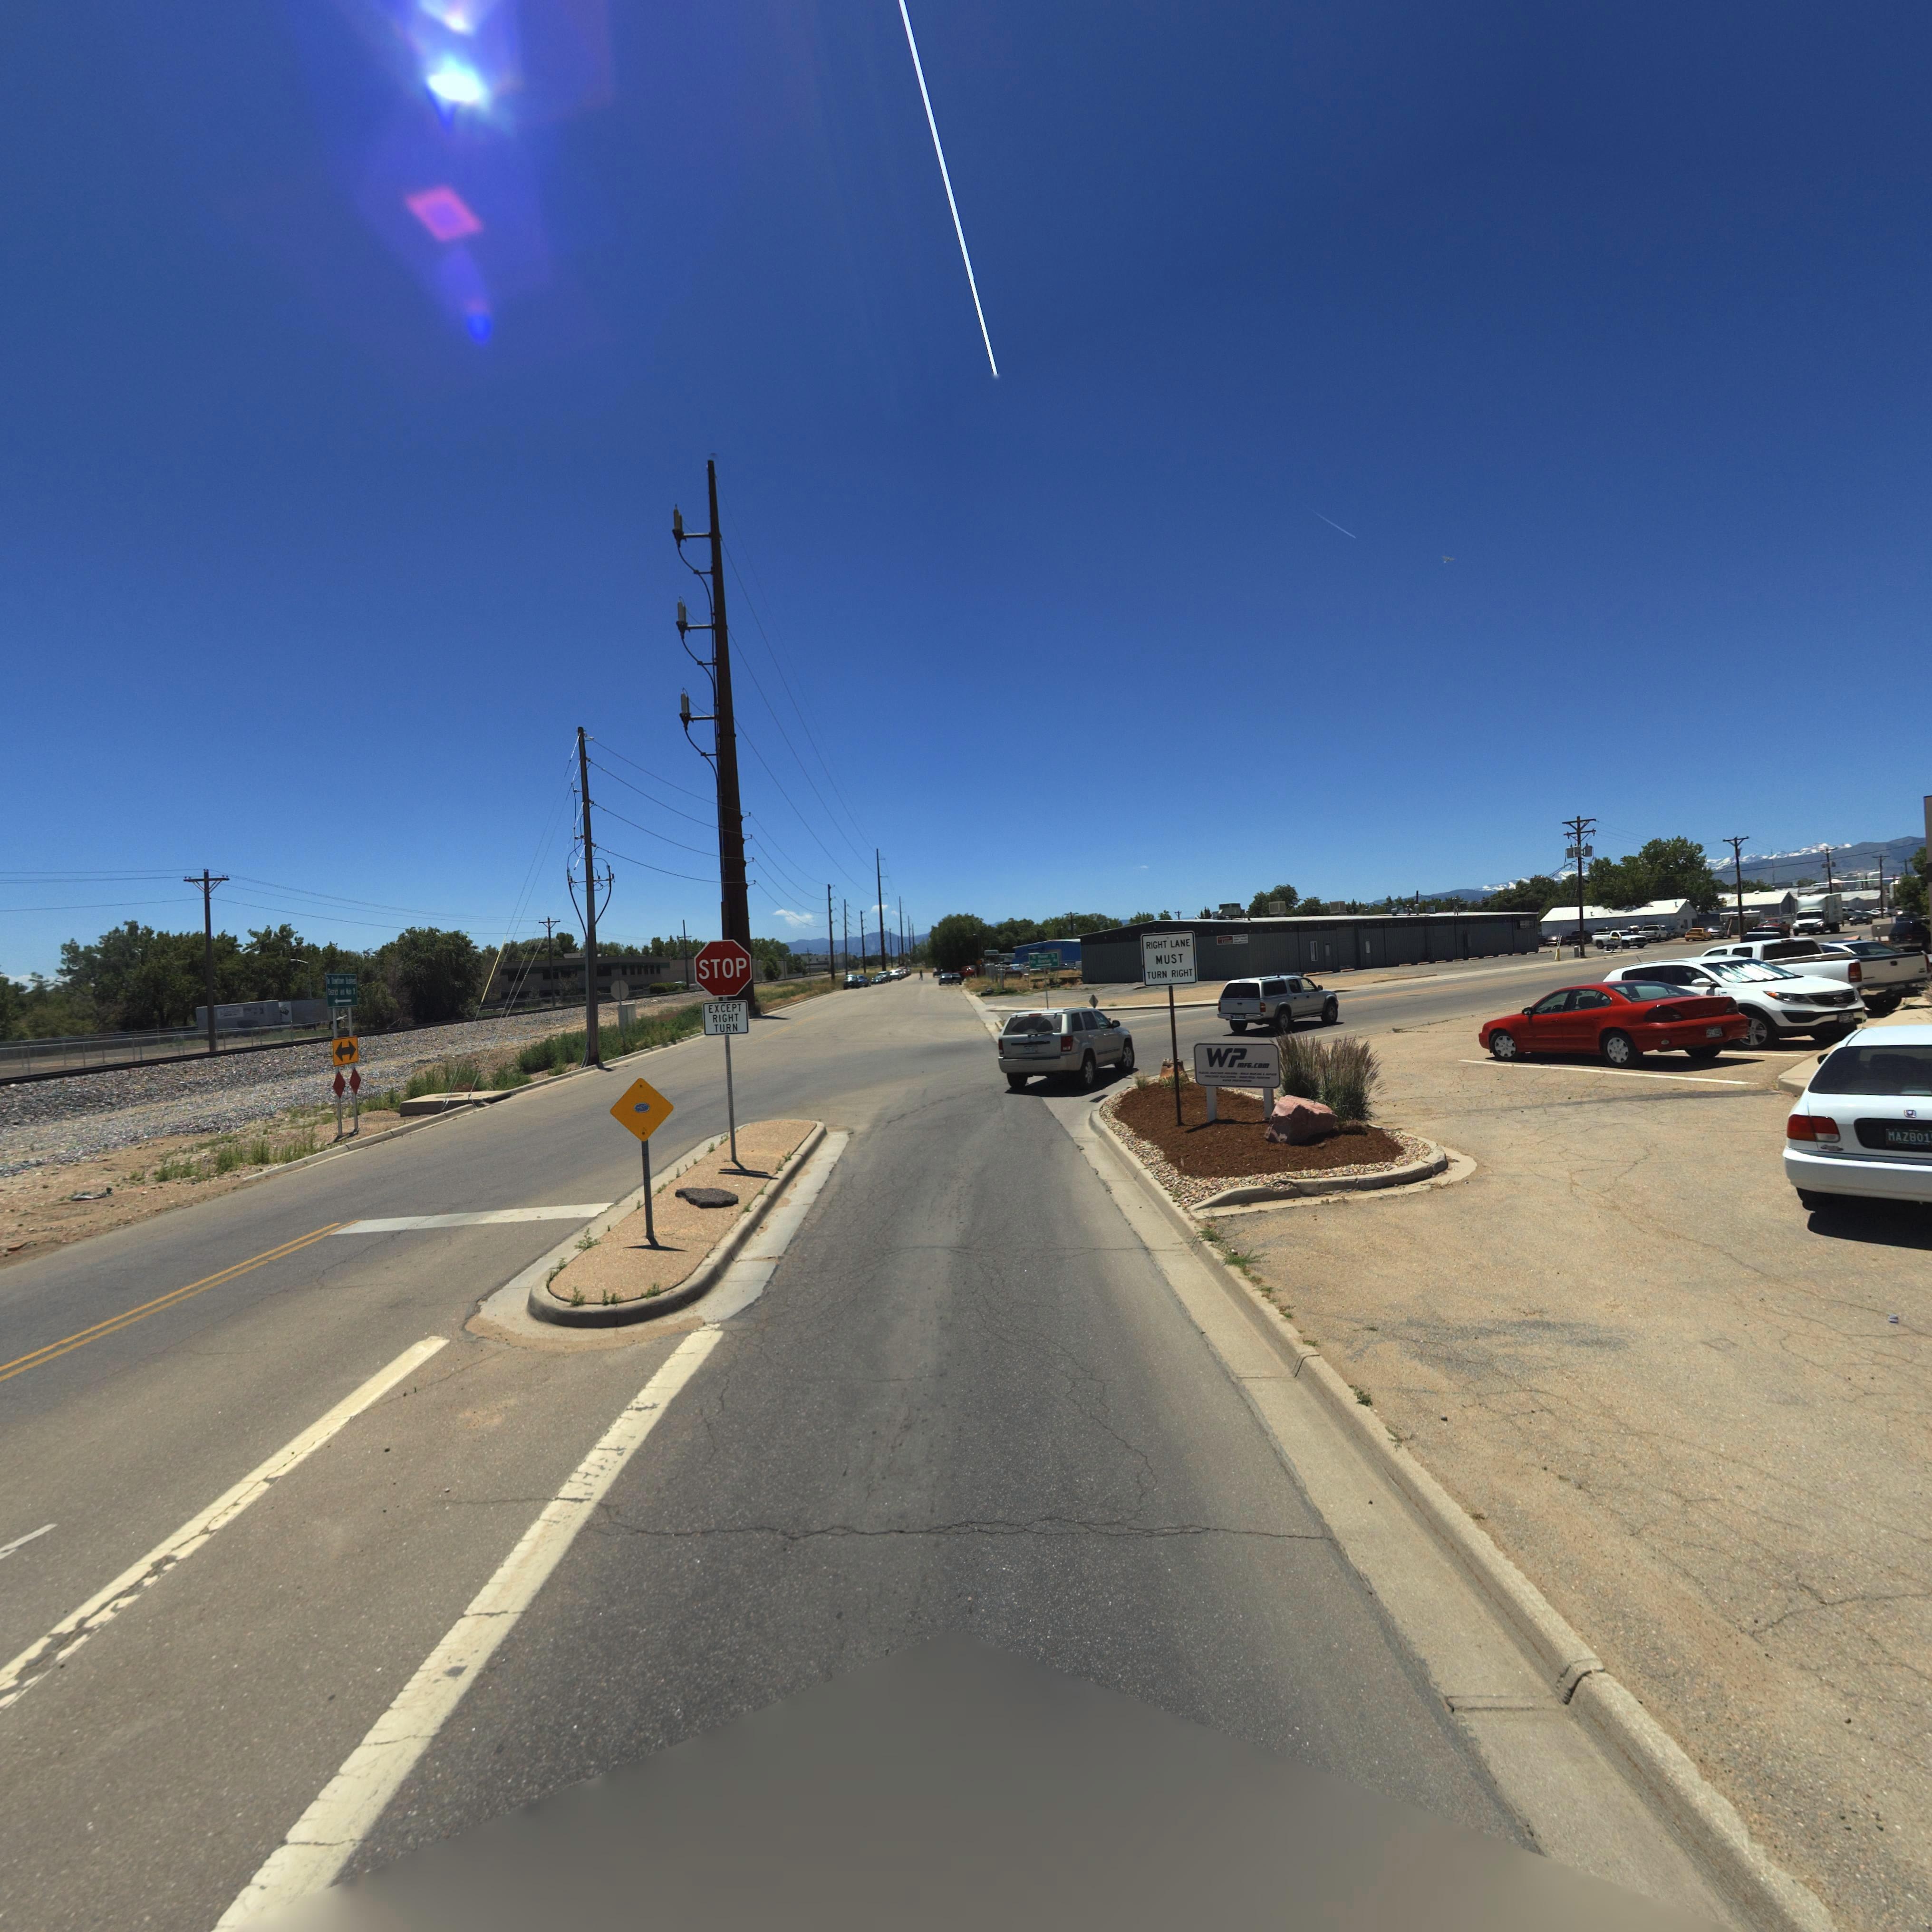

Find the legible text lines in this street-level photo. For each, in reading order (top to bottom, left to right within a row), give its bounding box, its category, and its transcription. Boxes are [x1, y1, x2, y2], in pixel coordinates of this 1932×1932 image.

[1038, 953, 1055, 958] StreetName: Hover St
[1037, 958, 1057, 963] StreetName: Boston Av
[1206, 1048, 1248, 1068] BusinessName: WP